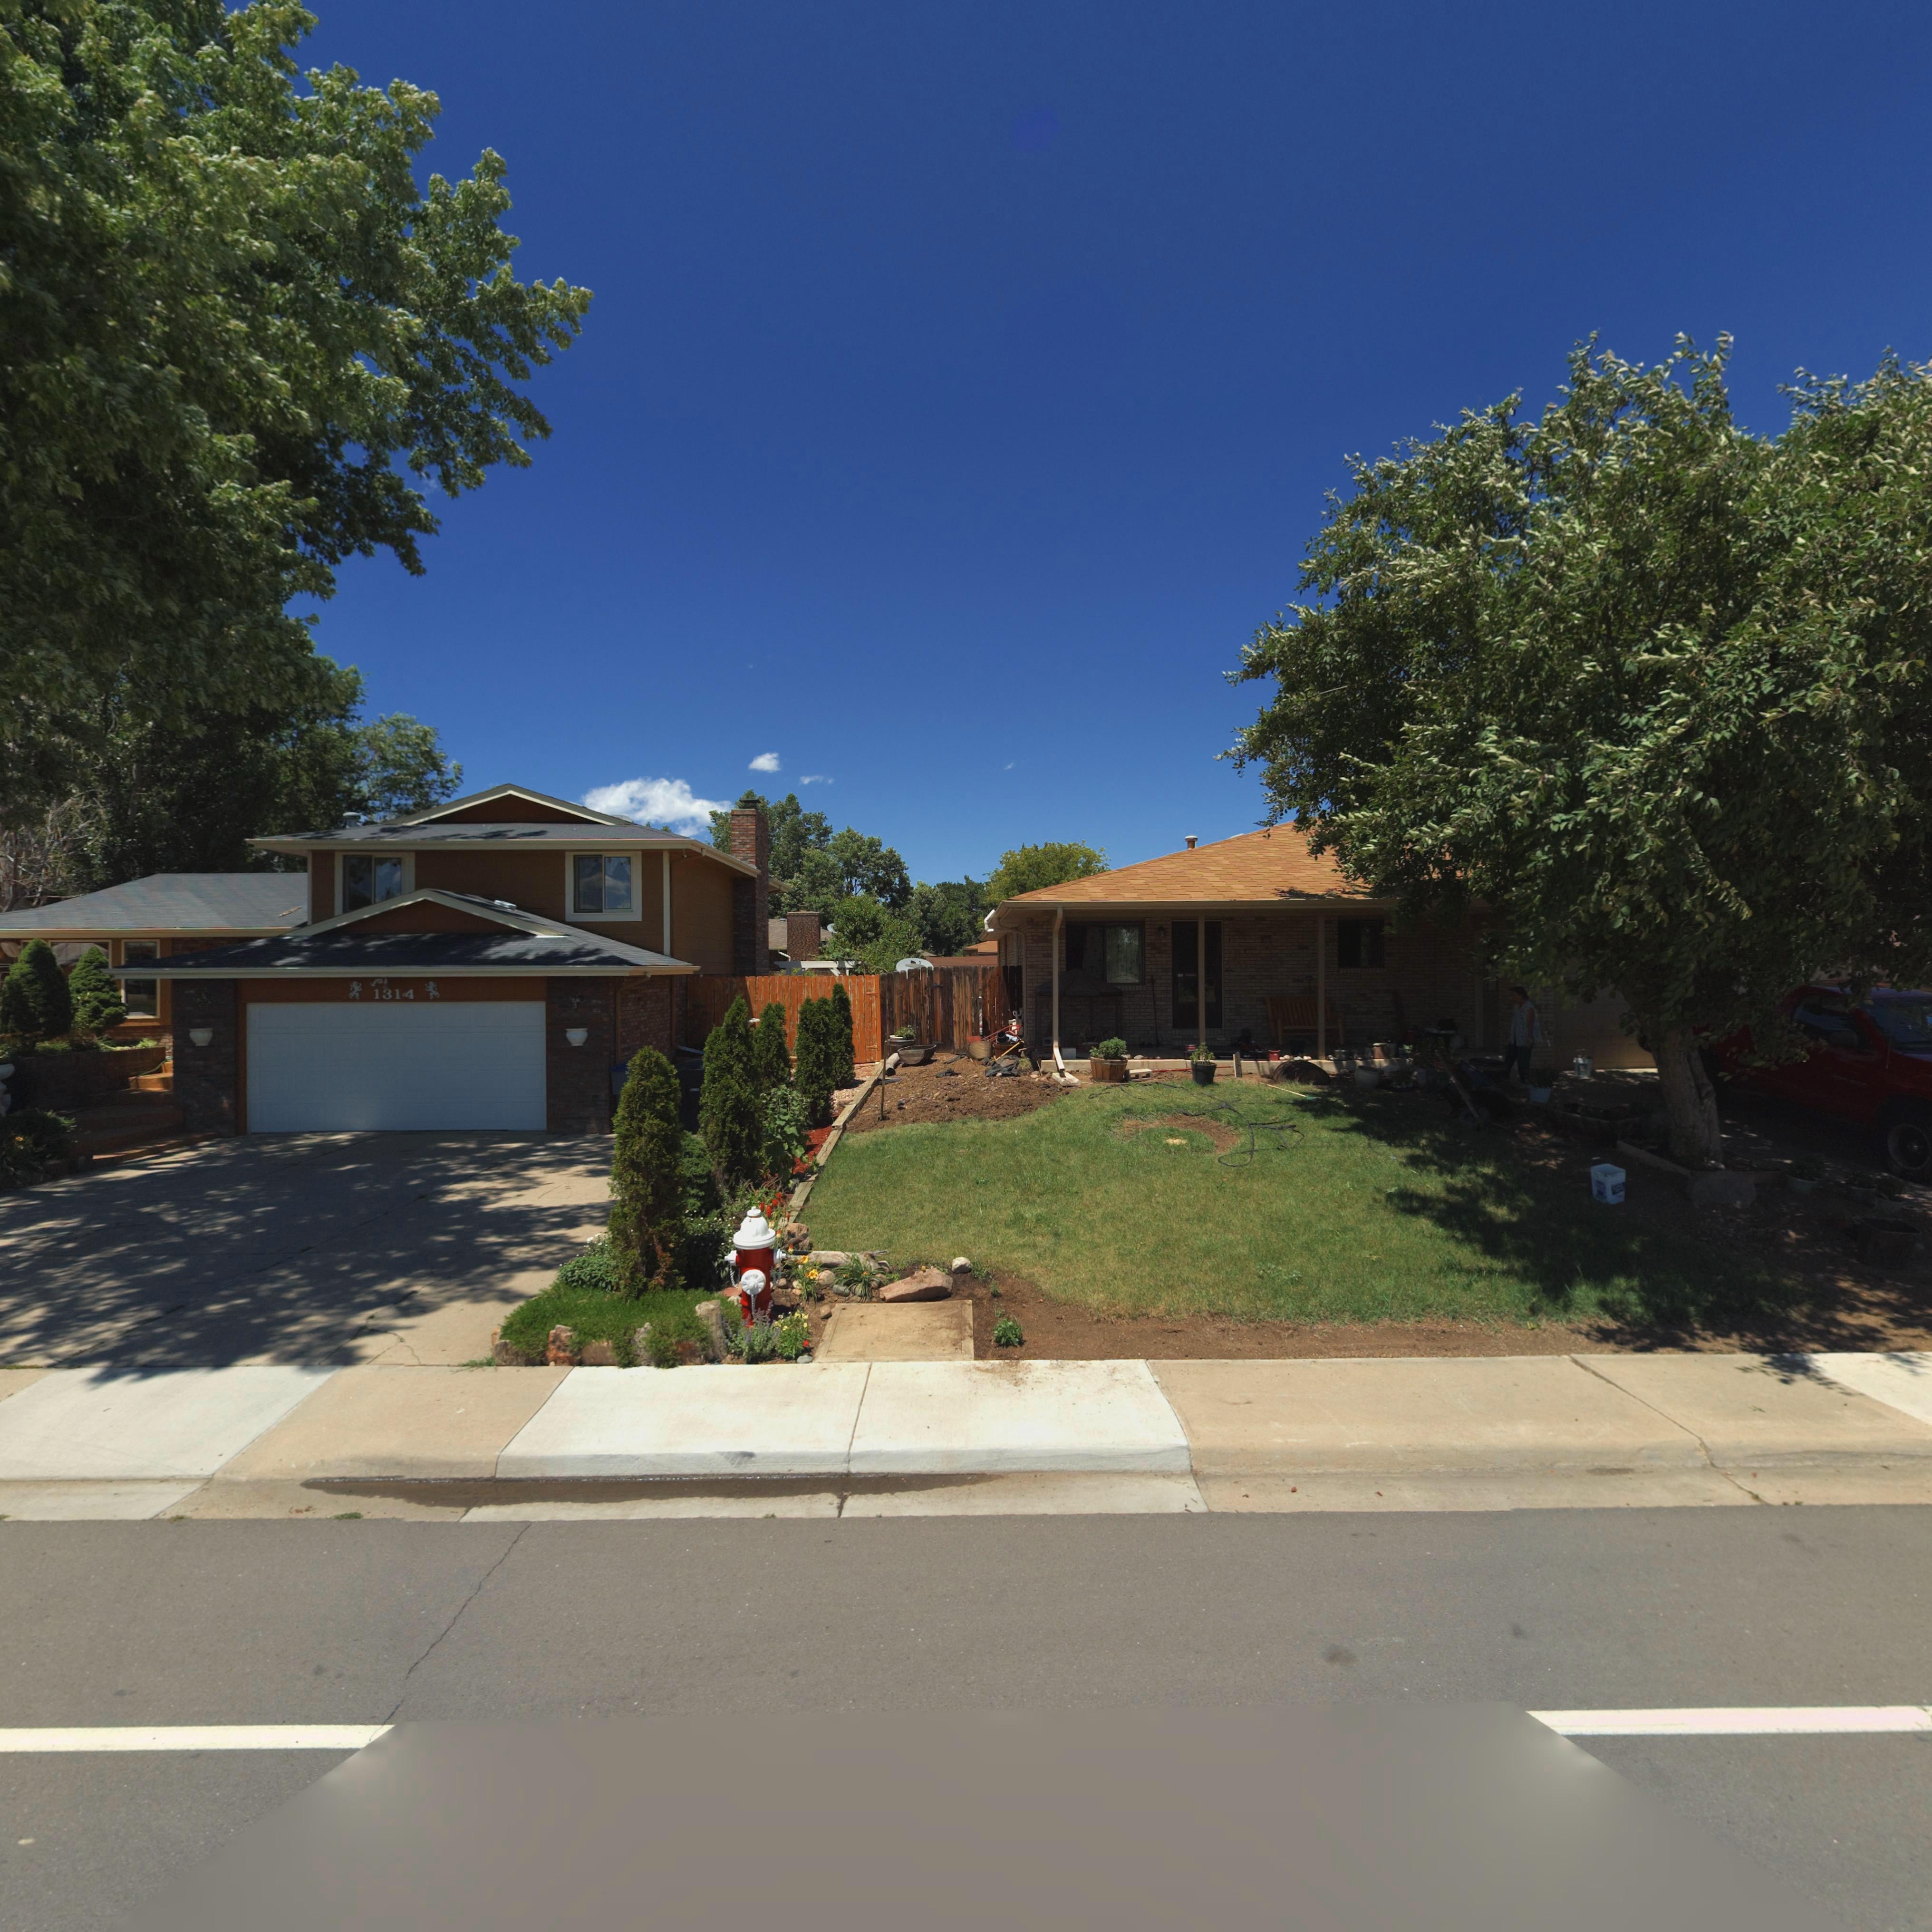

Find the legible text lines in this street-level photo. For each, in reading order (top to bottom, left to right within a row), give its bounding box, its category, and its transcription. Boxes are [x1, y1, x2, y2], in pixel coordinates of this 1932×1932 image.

[373, 988, 415, 1000] StreetNumber: 1314